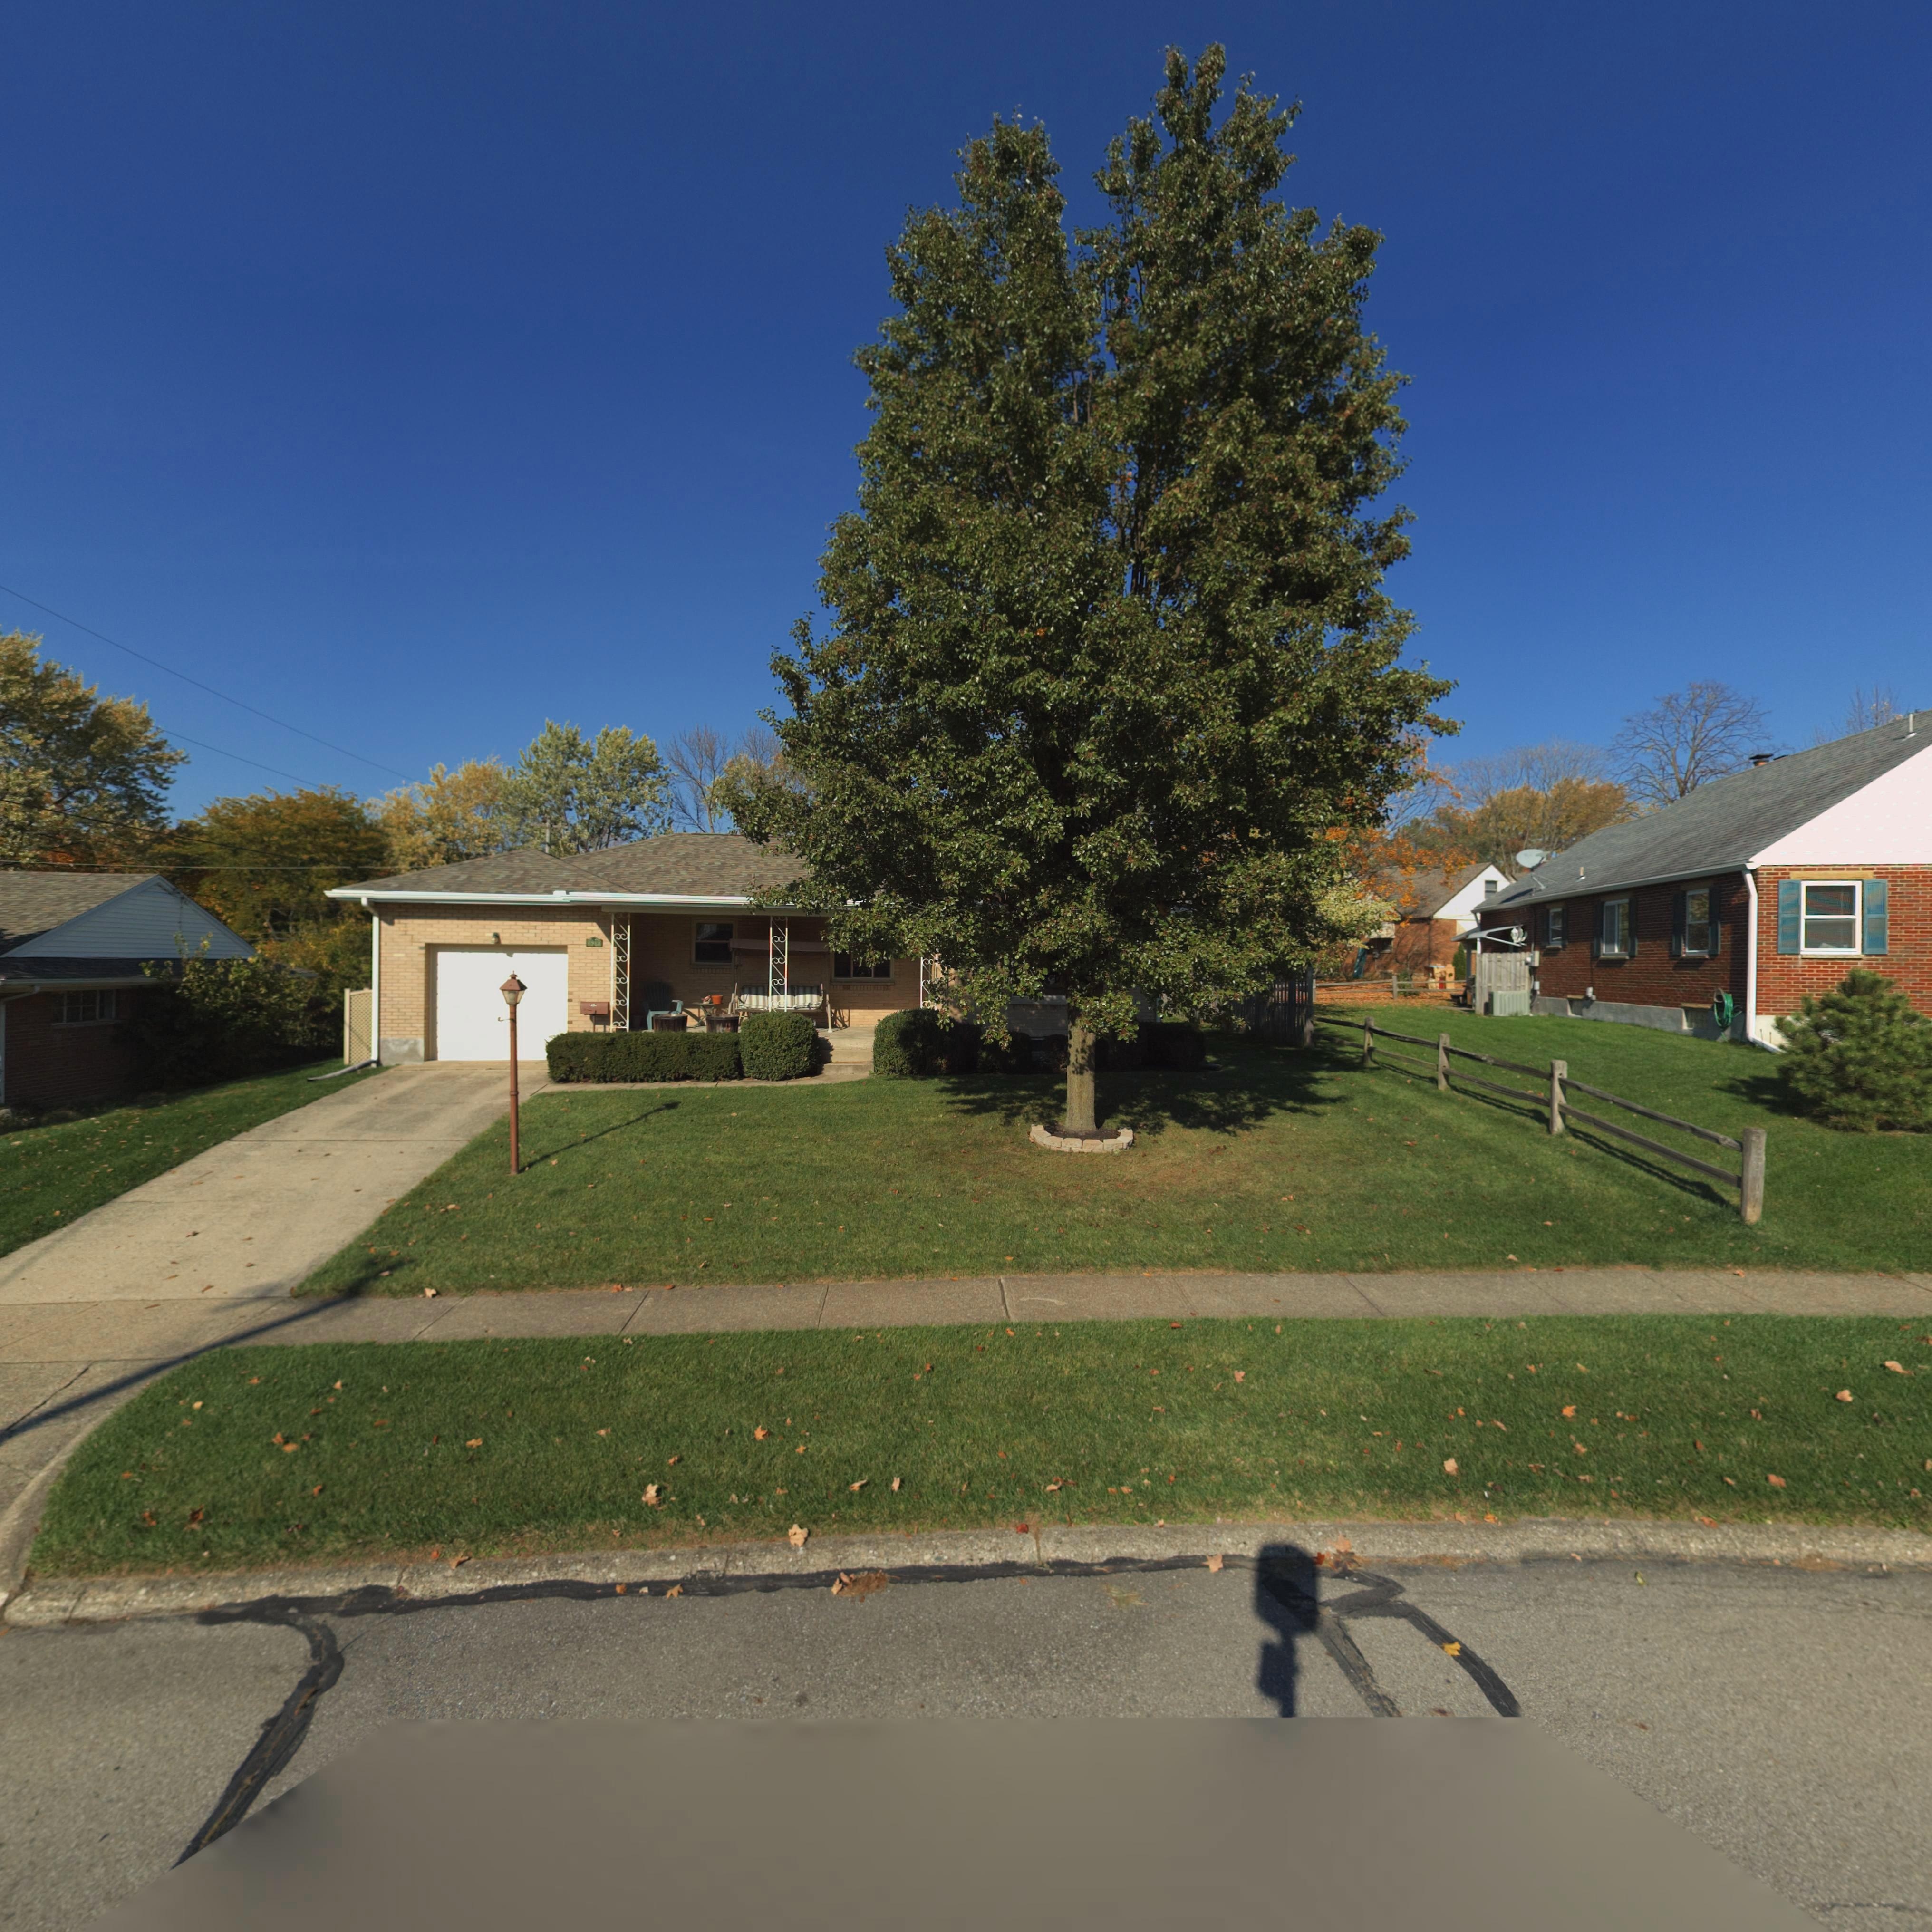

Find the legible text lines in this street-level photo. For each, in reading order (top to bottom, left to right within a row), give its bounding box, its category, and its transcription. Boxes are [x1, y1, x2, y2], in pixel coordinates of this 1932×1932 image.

[589, 941, 599, 946] StreetNumber: 639